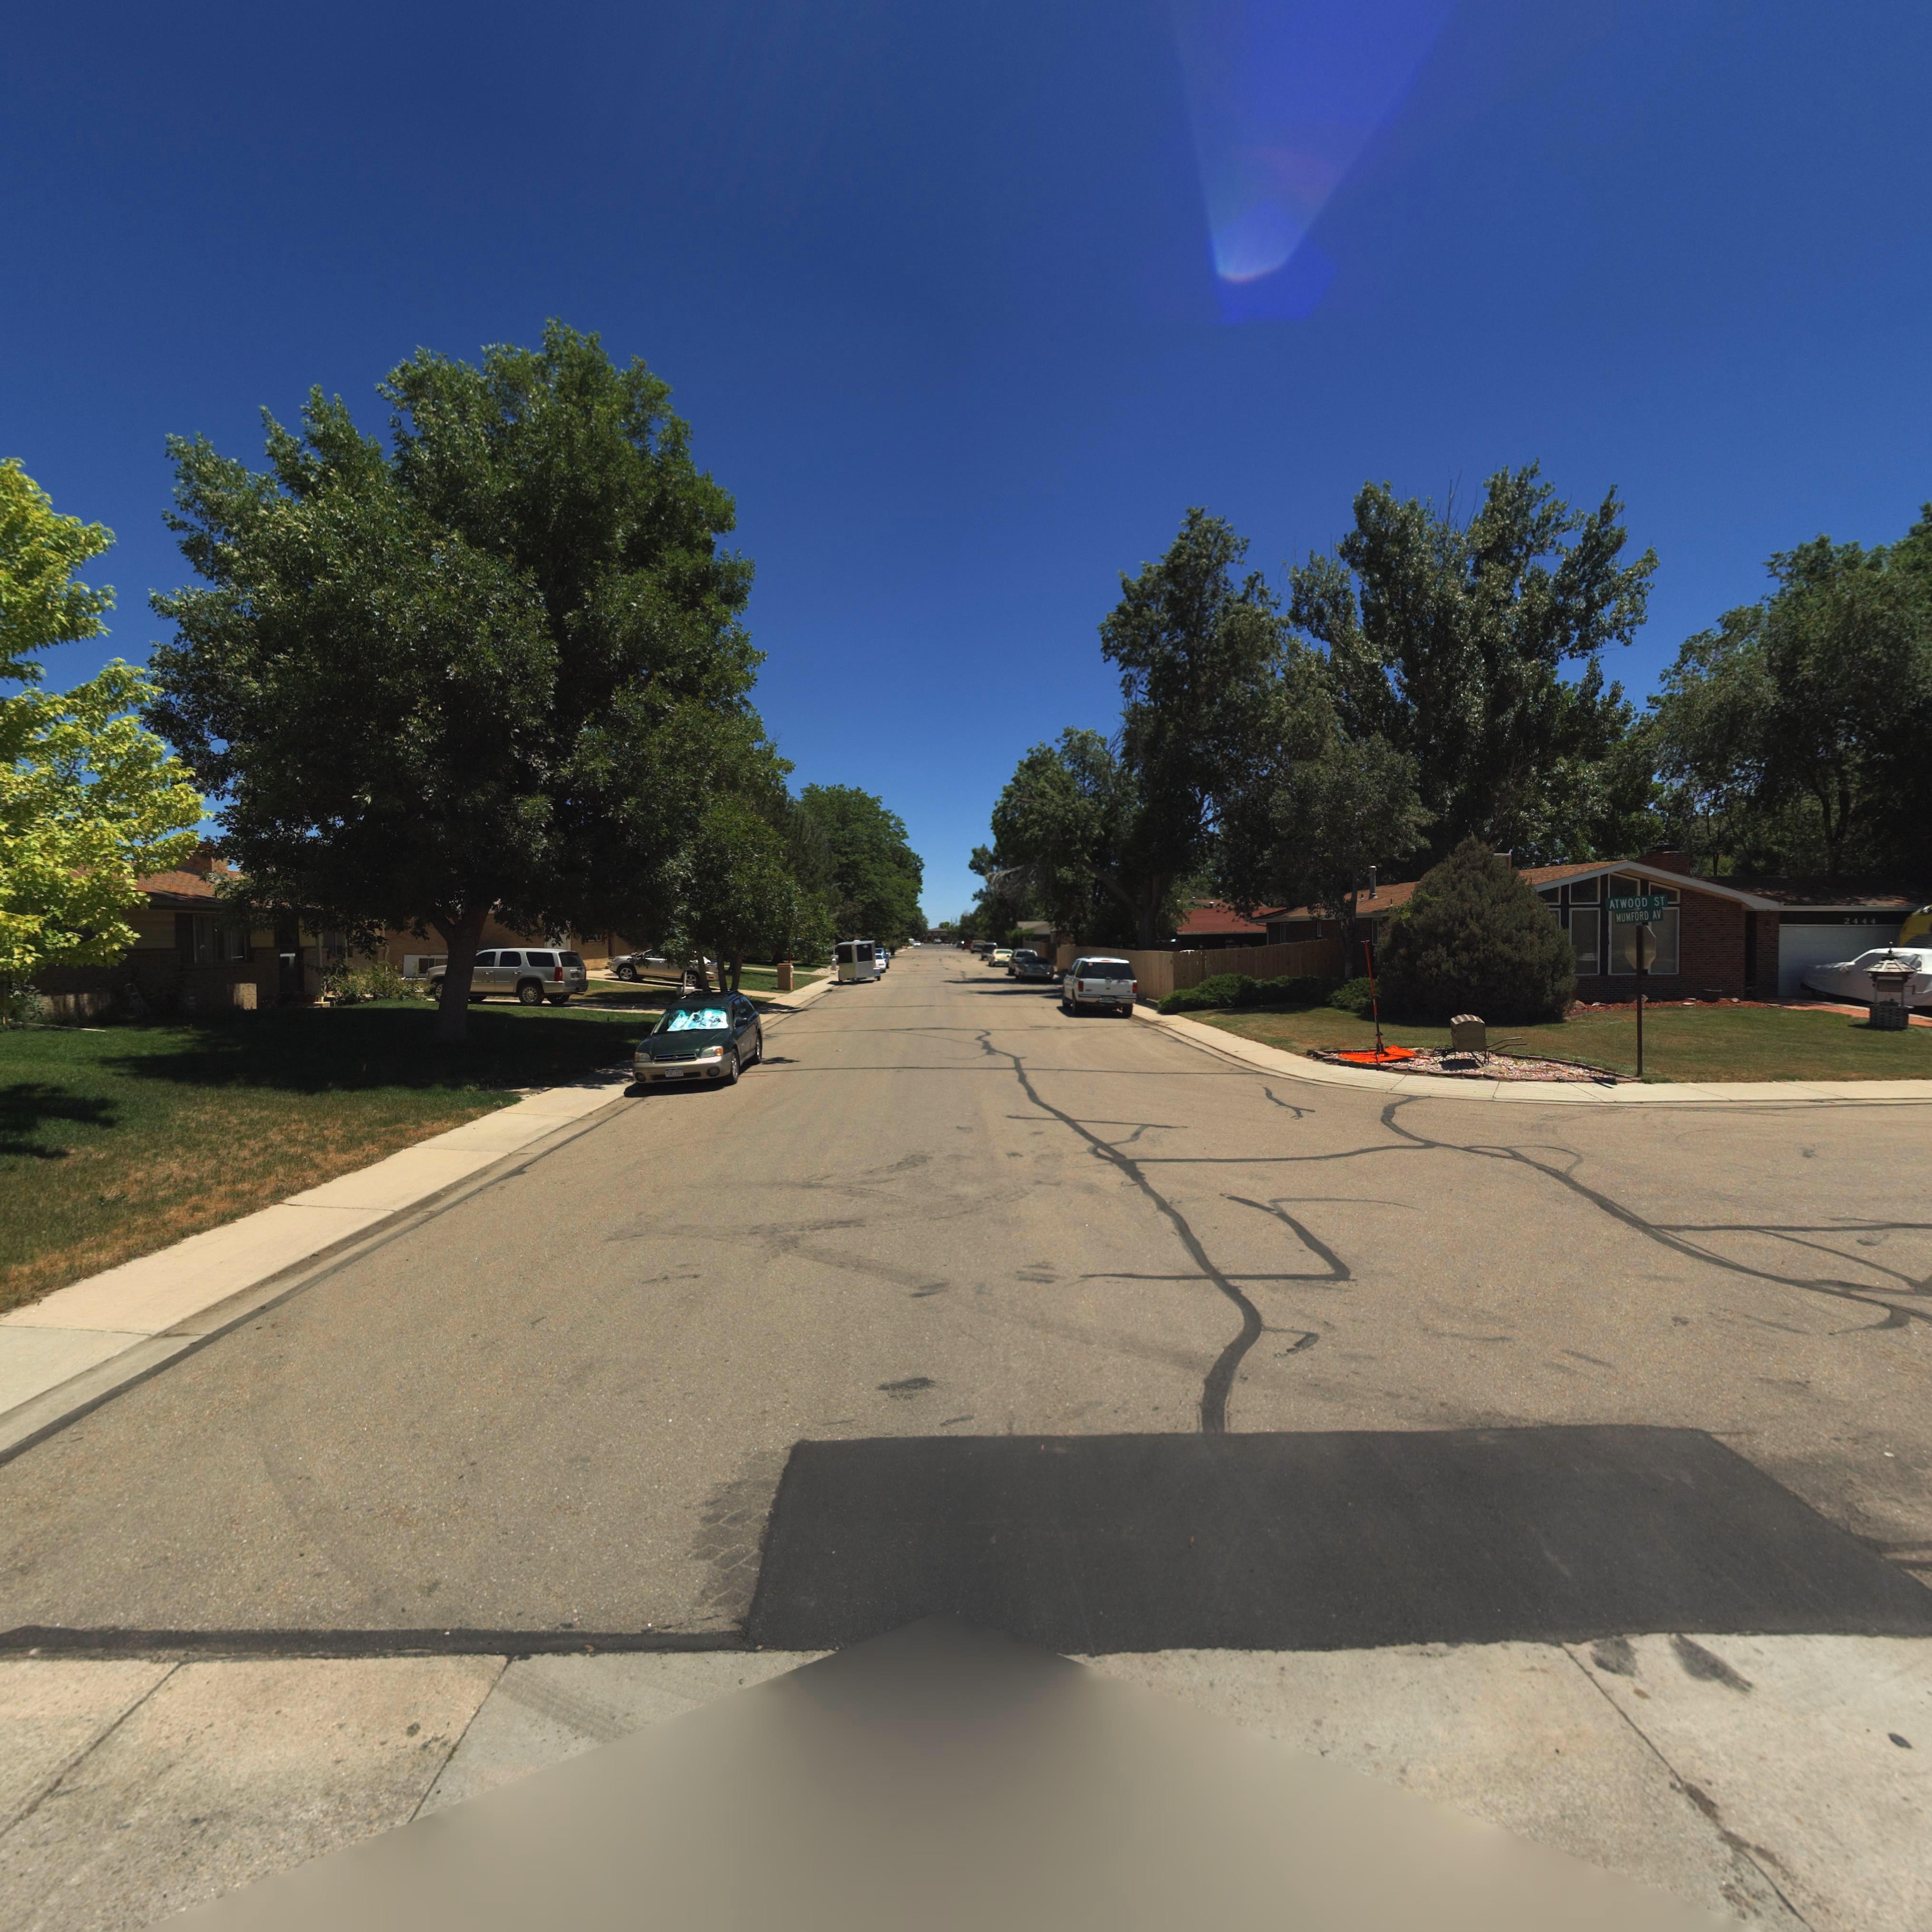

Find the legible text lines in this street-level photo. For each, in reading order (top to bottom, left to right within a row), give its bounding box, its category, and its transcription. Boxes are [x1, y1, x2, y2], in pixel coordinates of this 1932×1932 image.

[1609, 896, 1665, 909] StreetName: ATWOOD ST
[1616, 909, 1661, 922] StreetName: MUMFORD AV
[1844, 917, 1875, 924] StreetNumber: 2444